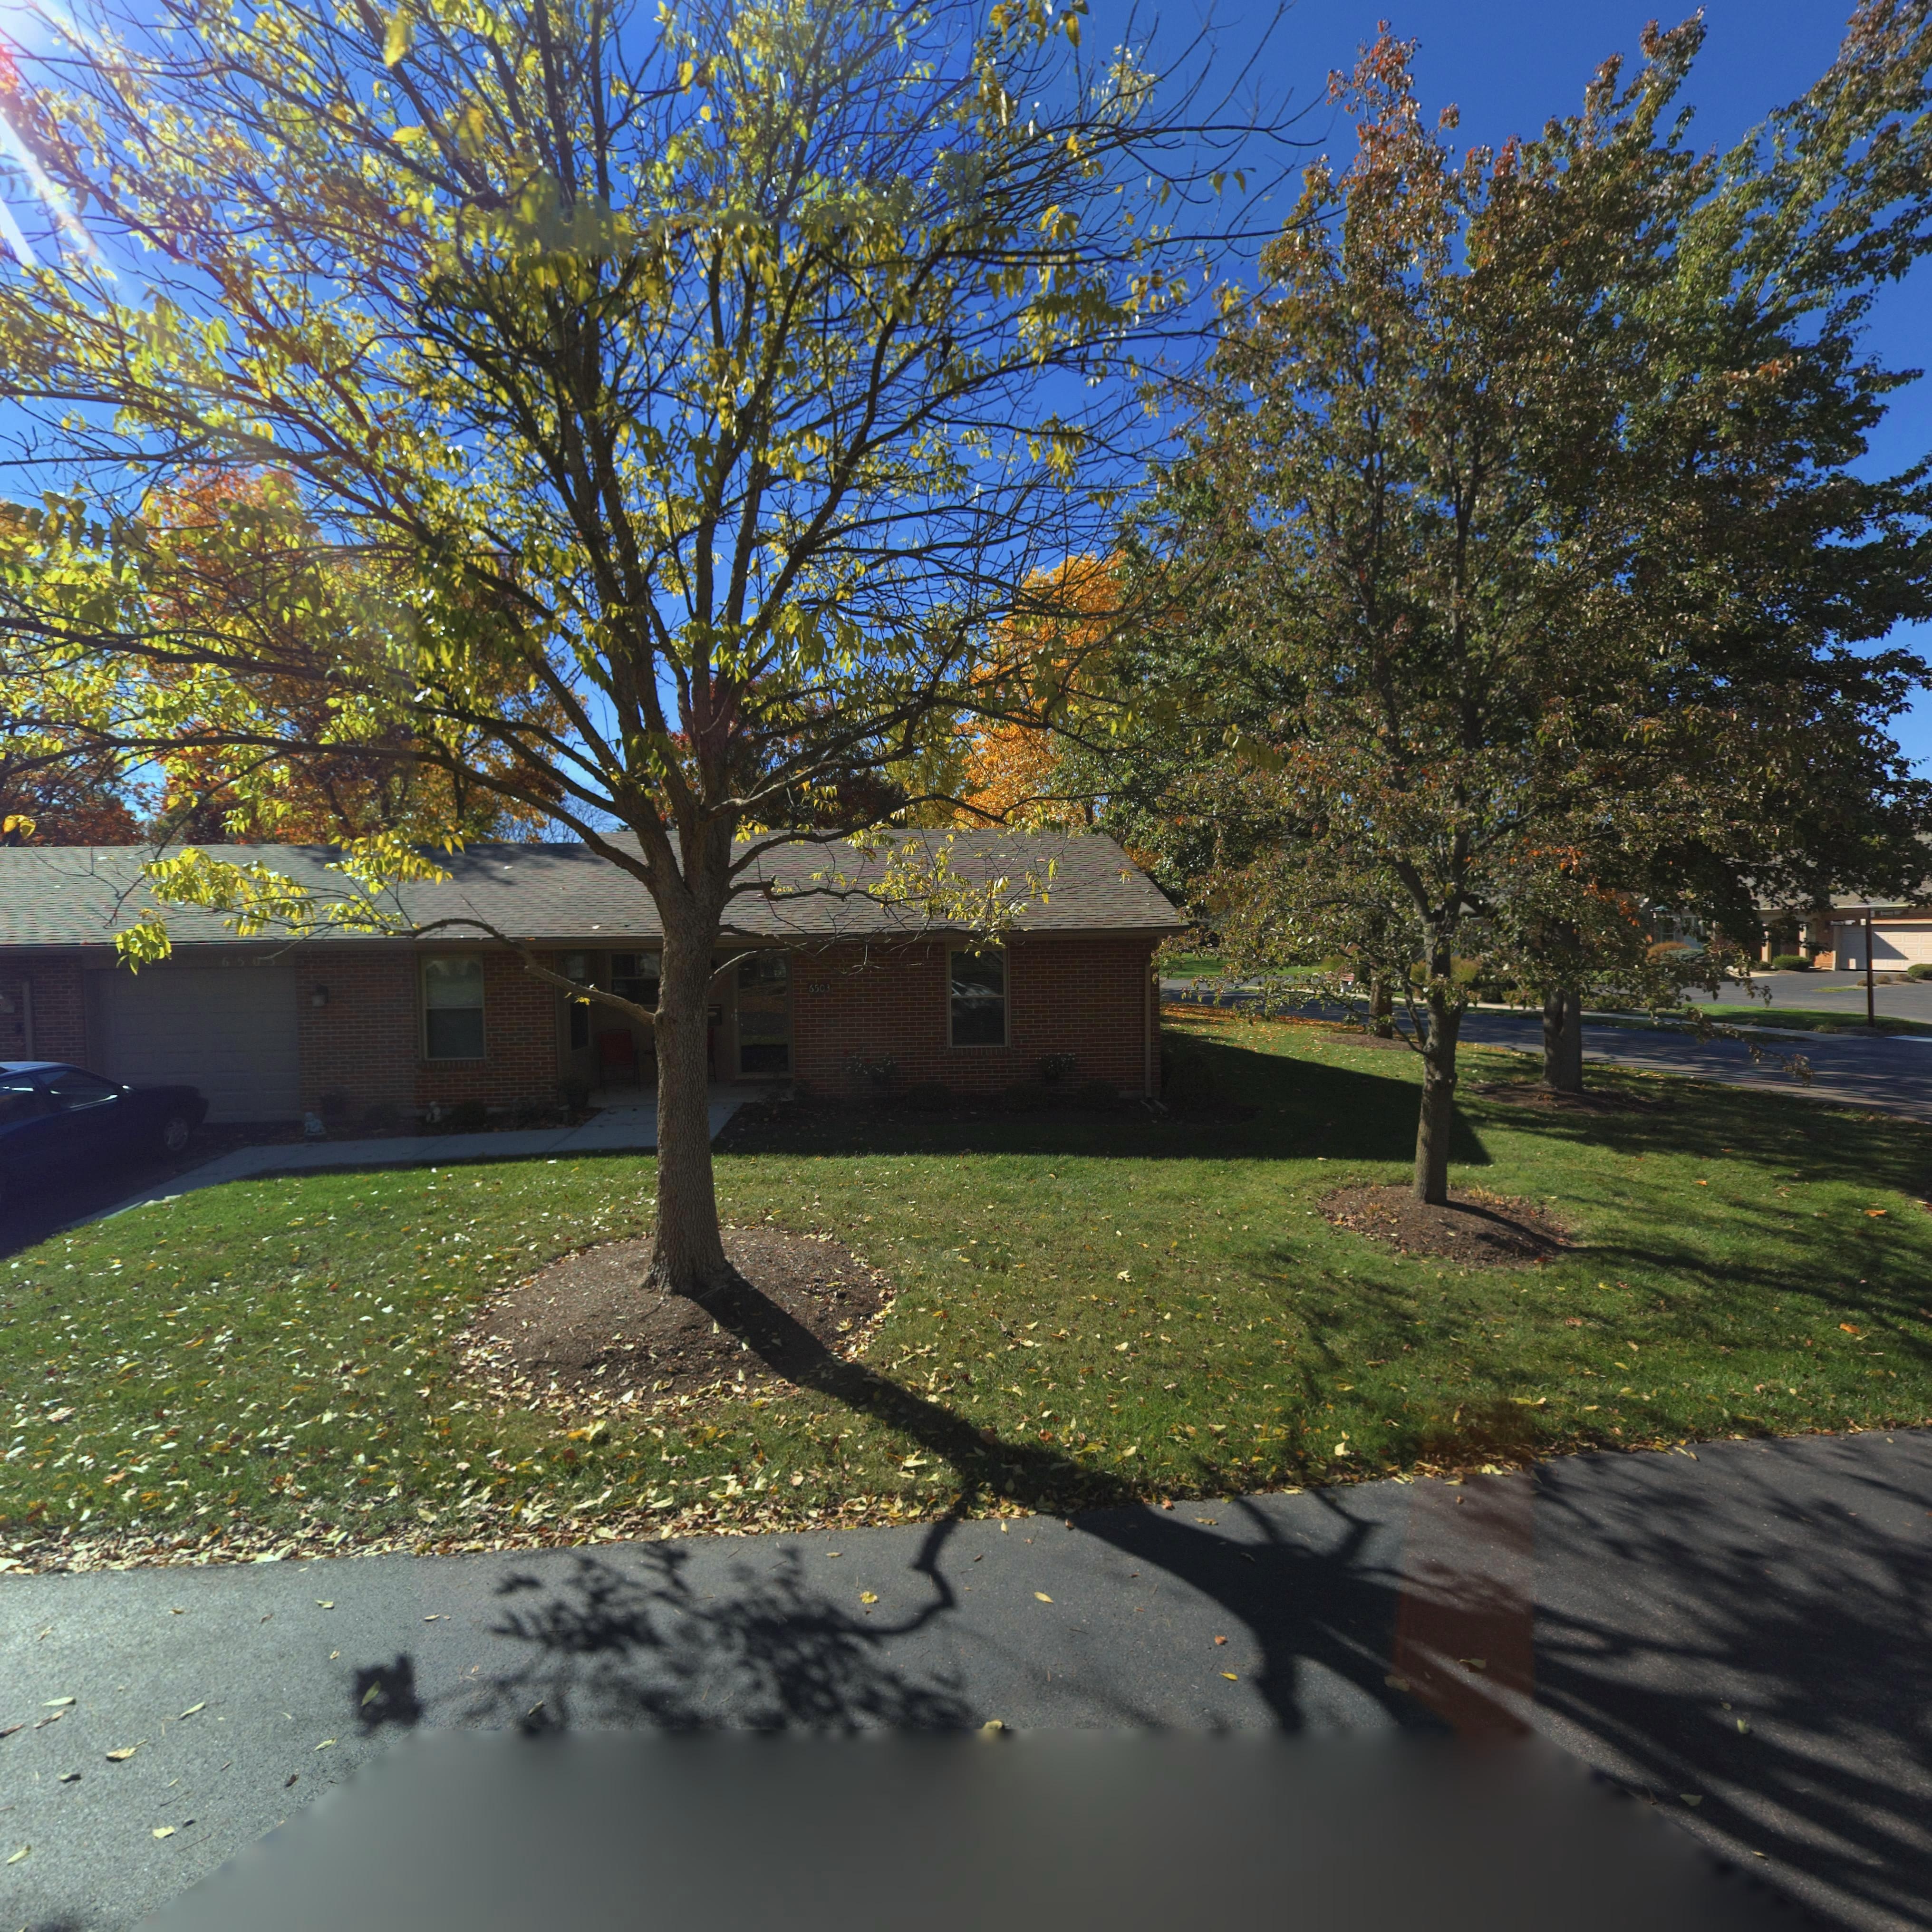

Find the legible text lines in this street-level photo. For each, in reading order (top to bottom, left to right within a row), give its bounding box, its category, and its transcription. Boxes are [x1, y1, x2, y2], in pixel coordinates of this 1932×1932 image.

[221, 955, 277, 968] StreetNumber: 650*
[808, 983, 831, 994] StreetNumber: 6503